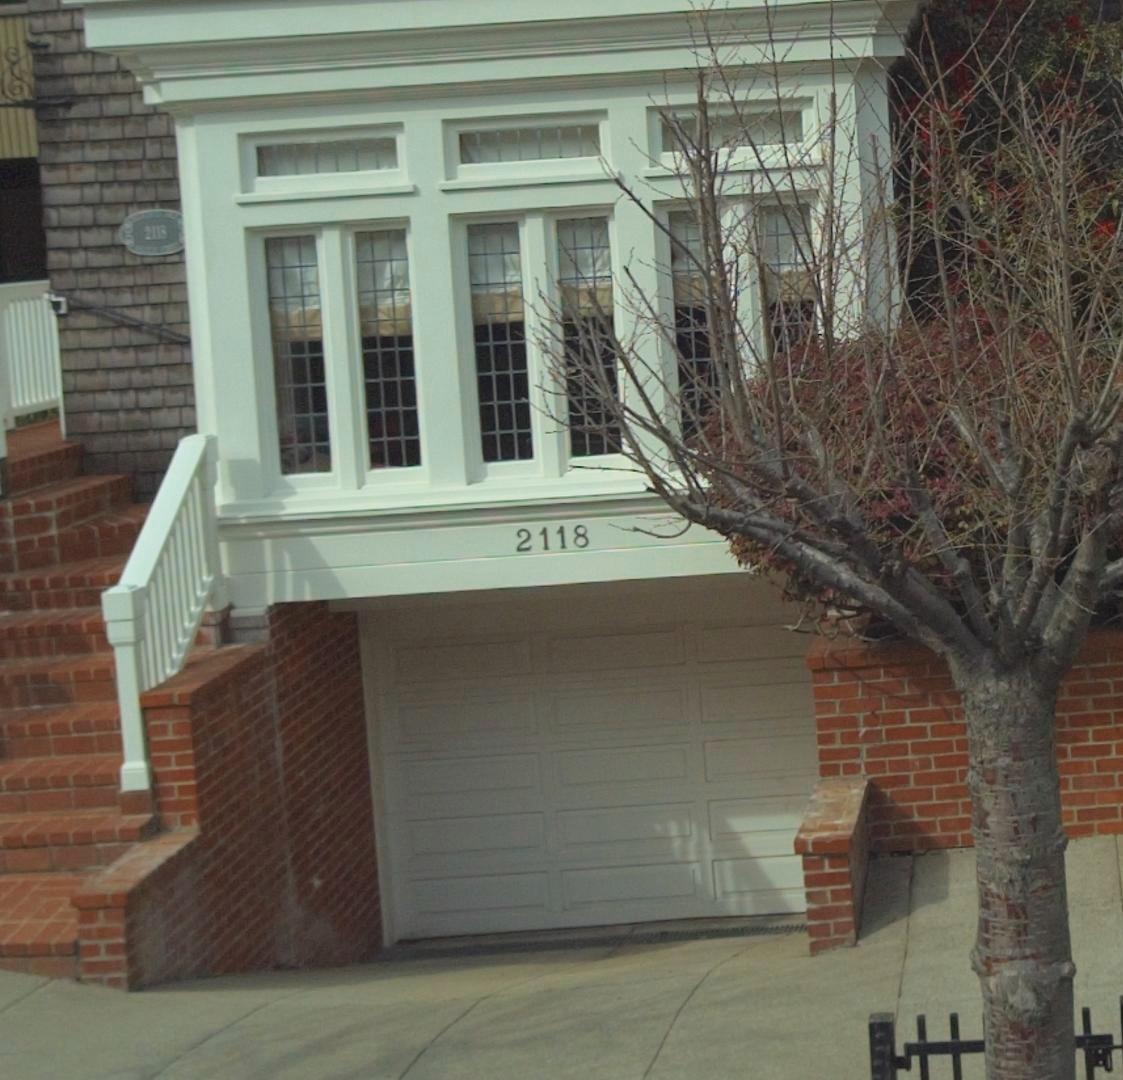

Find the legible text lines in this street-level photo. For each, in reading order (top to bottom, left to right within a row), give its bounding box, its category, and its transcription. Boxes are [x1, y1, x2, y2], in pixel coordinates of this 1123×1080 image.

[513, 522, 592, 555] StreetNumber: 2118